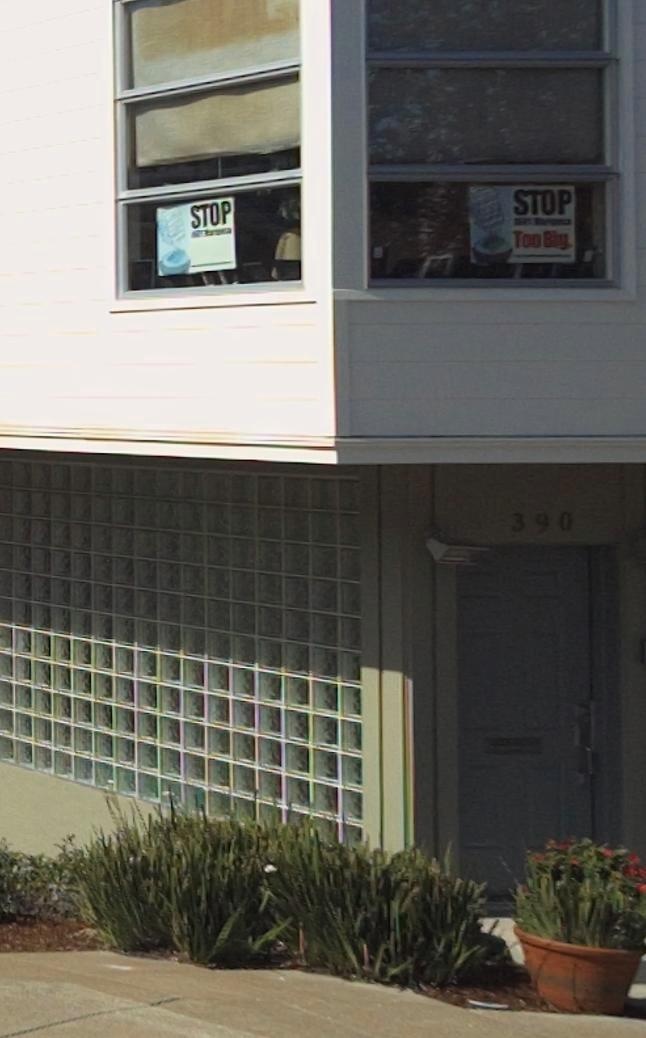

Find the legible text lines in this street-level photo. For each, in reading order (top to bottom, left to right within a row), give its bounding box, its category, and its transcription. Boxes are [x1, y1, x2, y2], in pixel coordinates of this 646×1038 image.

[189, 199, 233, 231] None: STOP
[512, 187, 574, 217] None: STOP
[511, 228, 574, 252] None: TOO B*Y
[510, 511, 574, 534] StreetNumber: 390